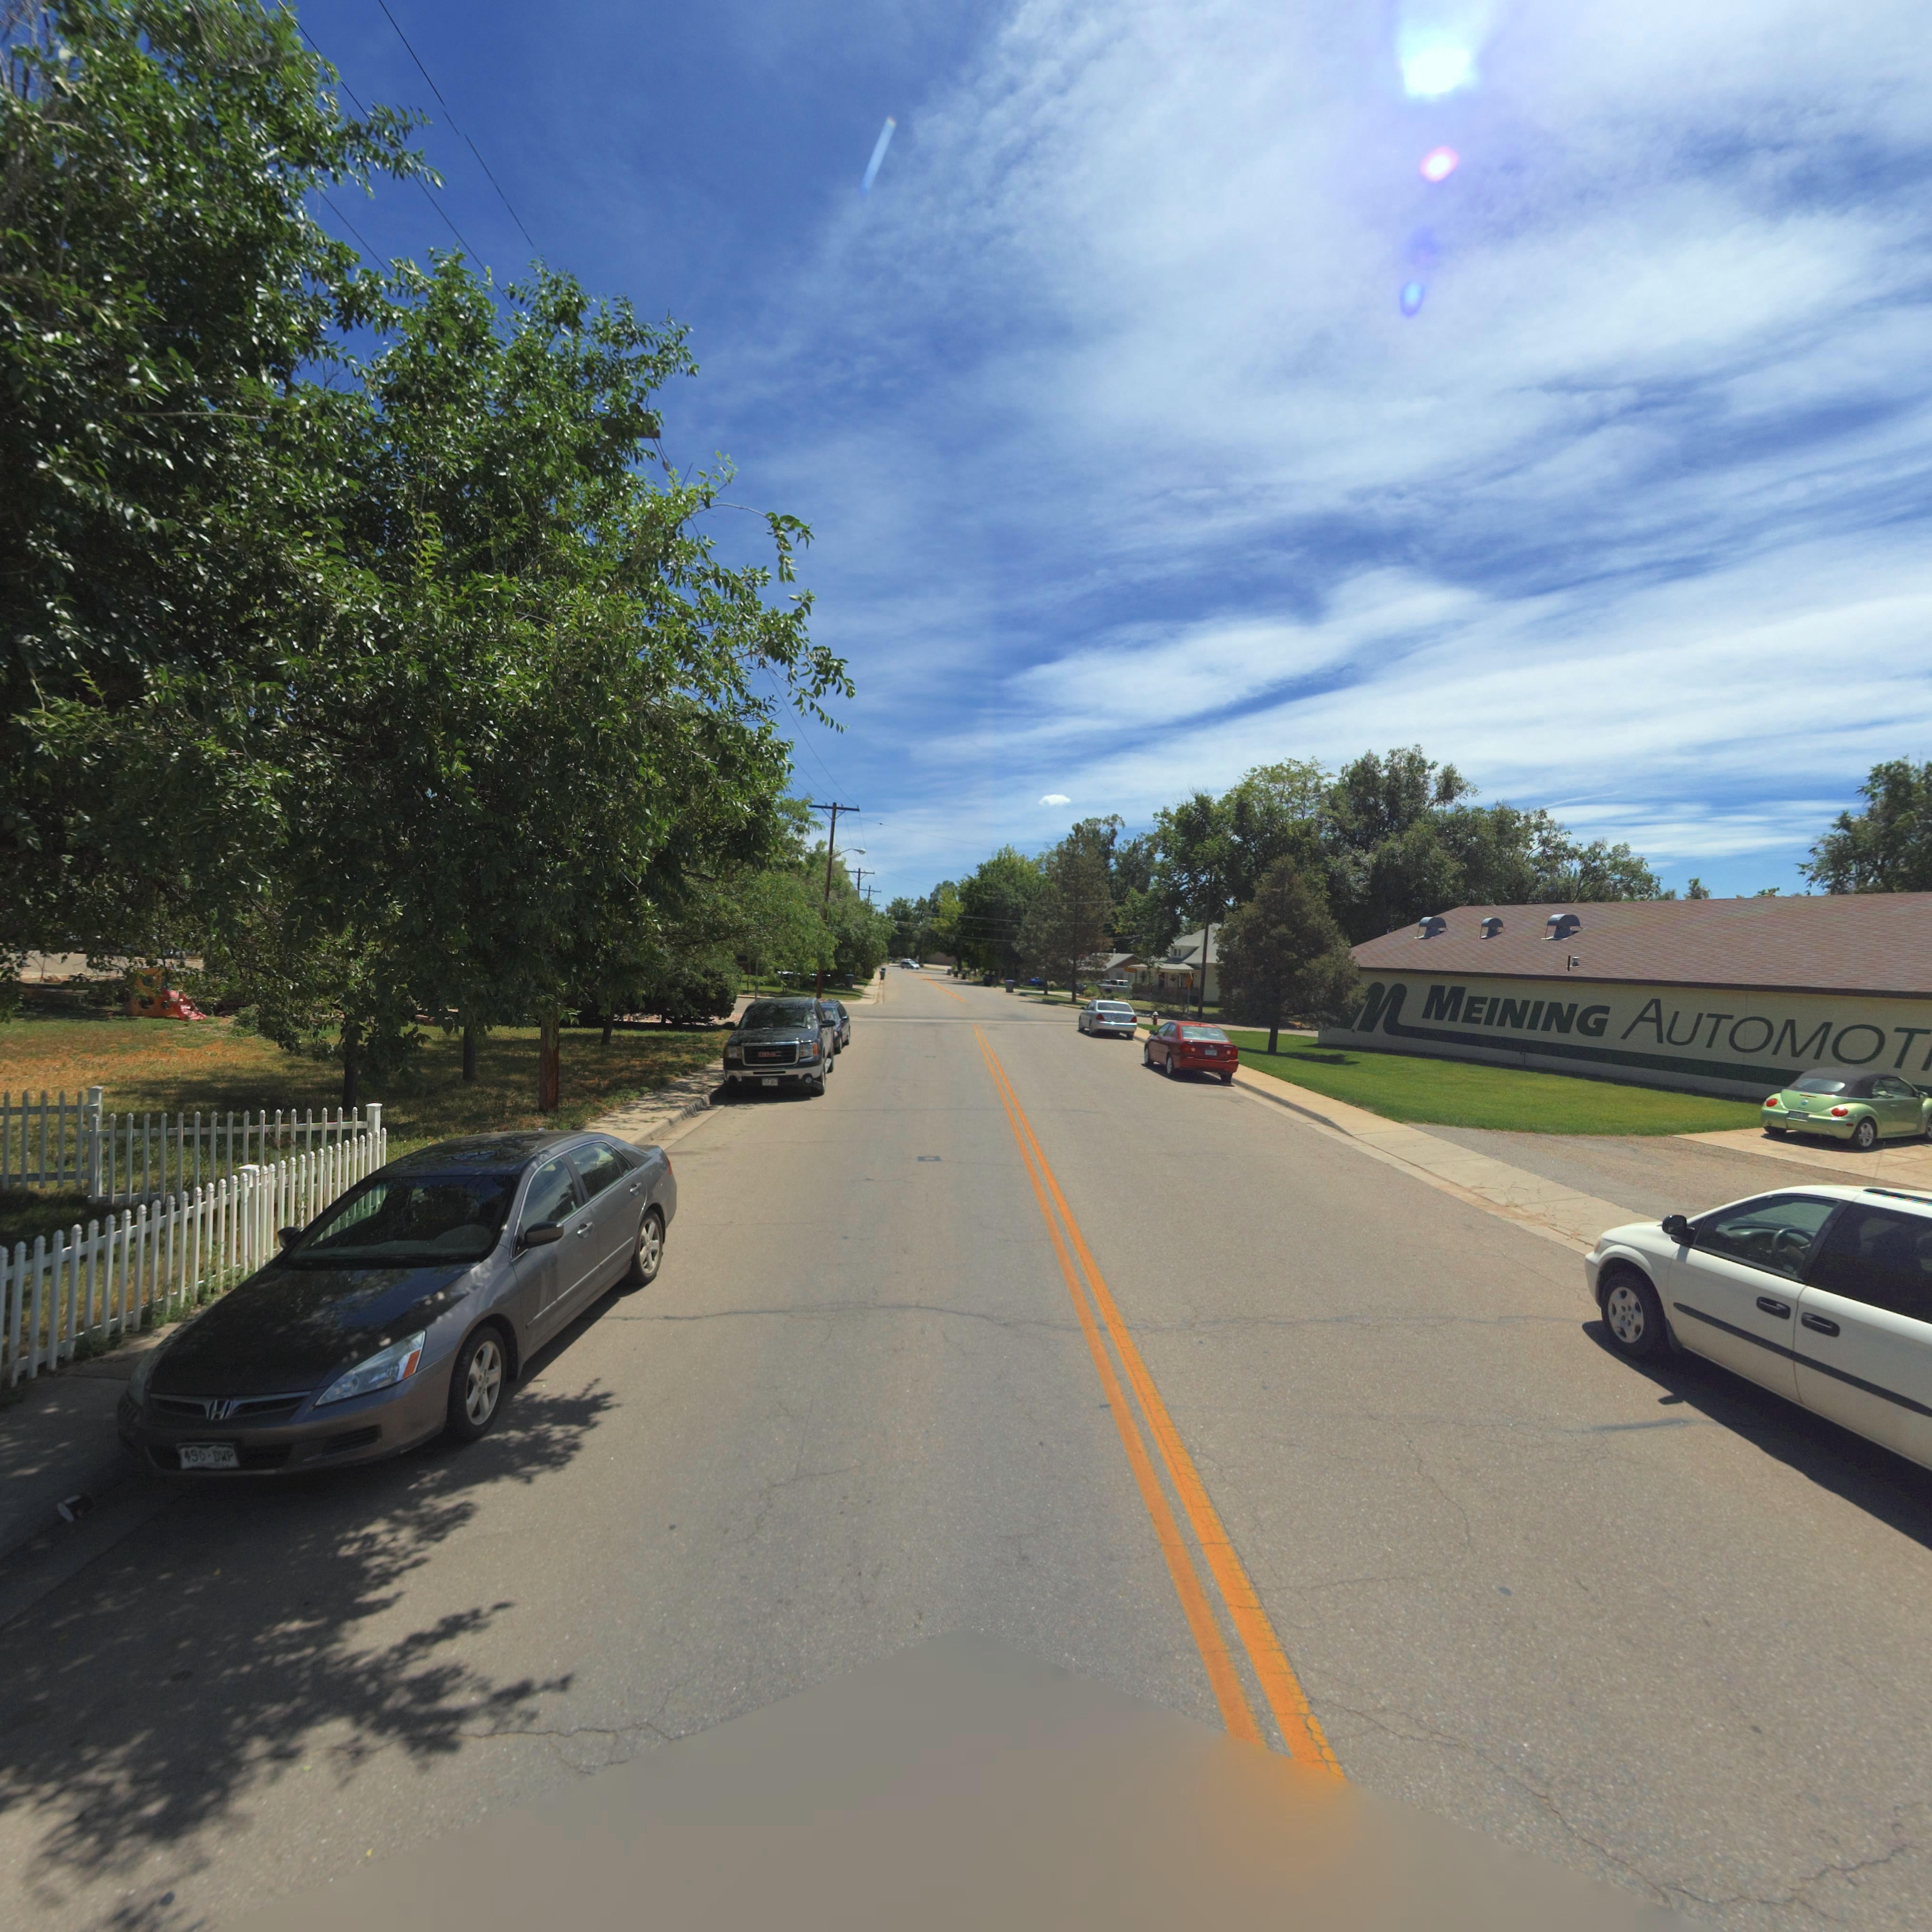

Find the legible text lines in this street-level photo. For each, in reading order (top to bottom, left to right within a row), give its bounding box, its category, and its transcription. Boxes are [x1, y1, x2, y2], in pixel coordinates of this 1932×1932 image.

[1420, 983, 1931, 1069] BusinessName: MEINING AUTOMOT